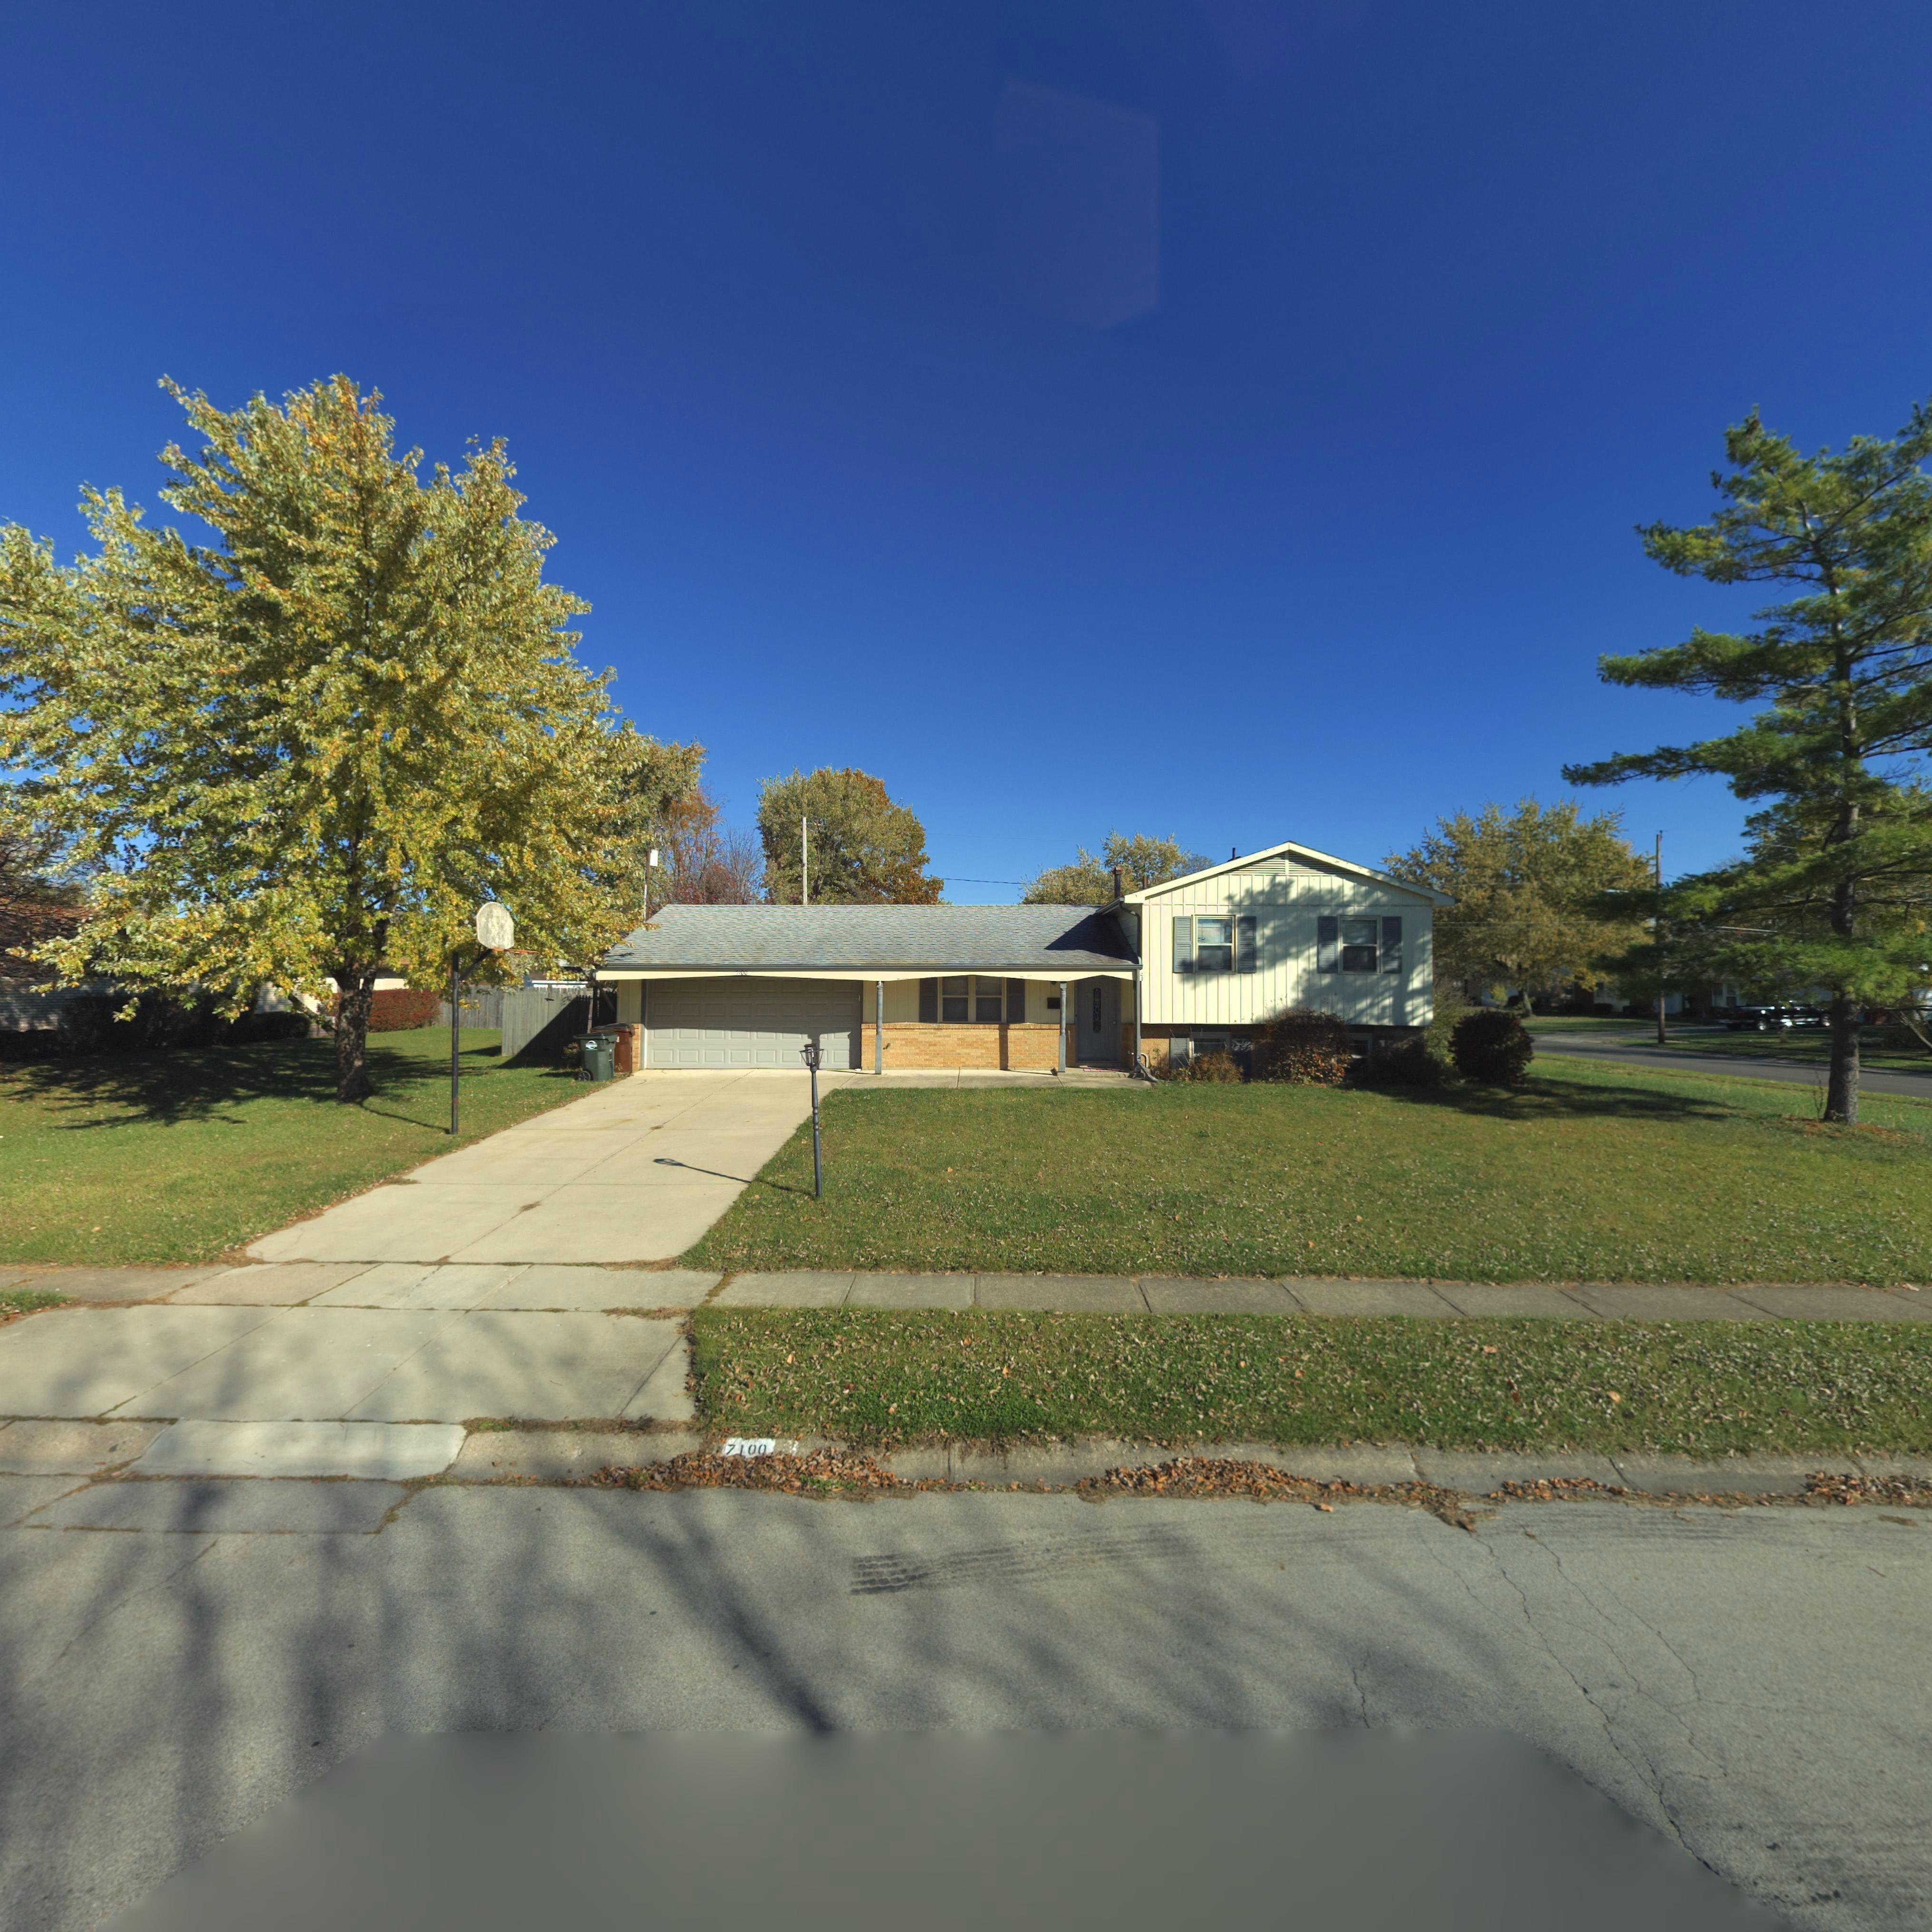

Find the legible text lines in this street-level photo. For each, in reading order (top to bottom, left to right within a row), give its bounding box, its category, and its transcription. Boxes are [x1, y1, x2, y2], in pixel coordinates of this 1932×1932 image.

[734, 969, 749, 976] StreetNumber: 7100
[724, 1442, 768, 1457] StreetNumber: 7100